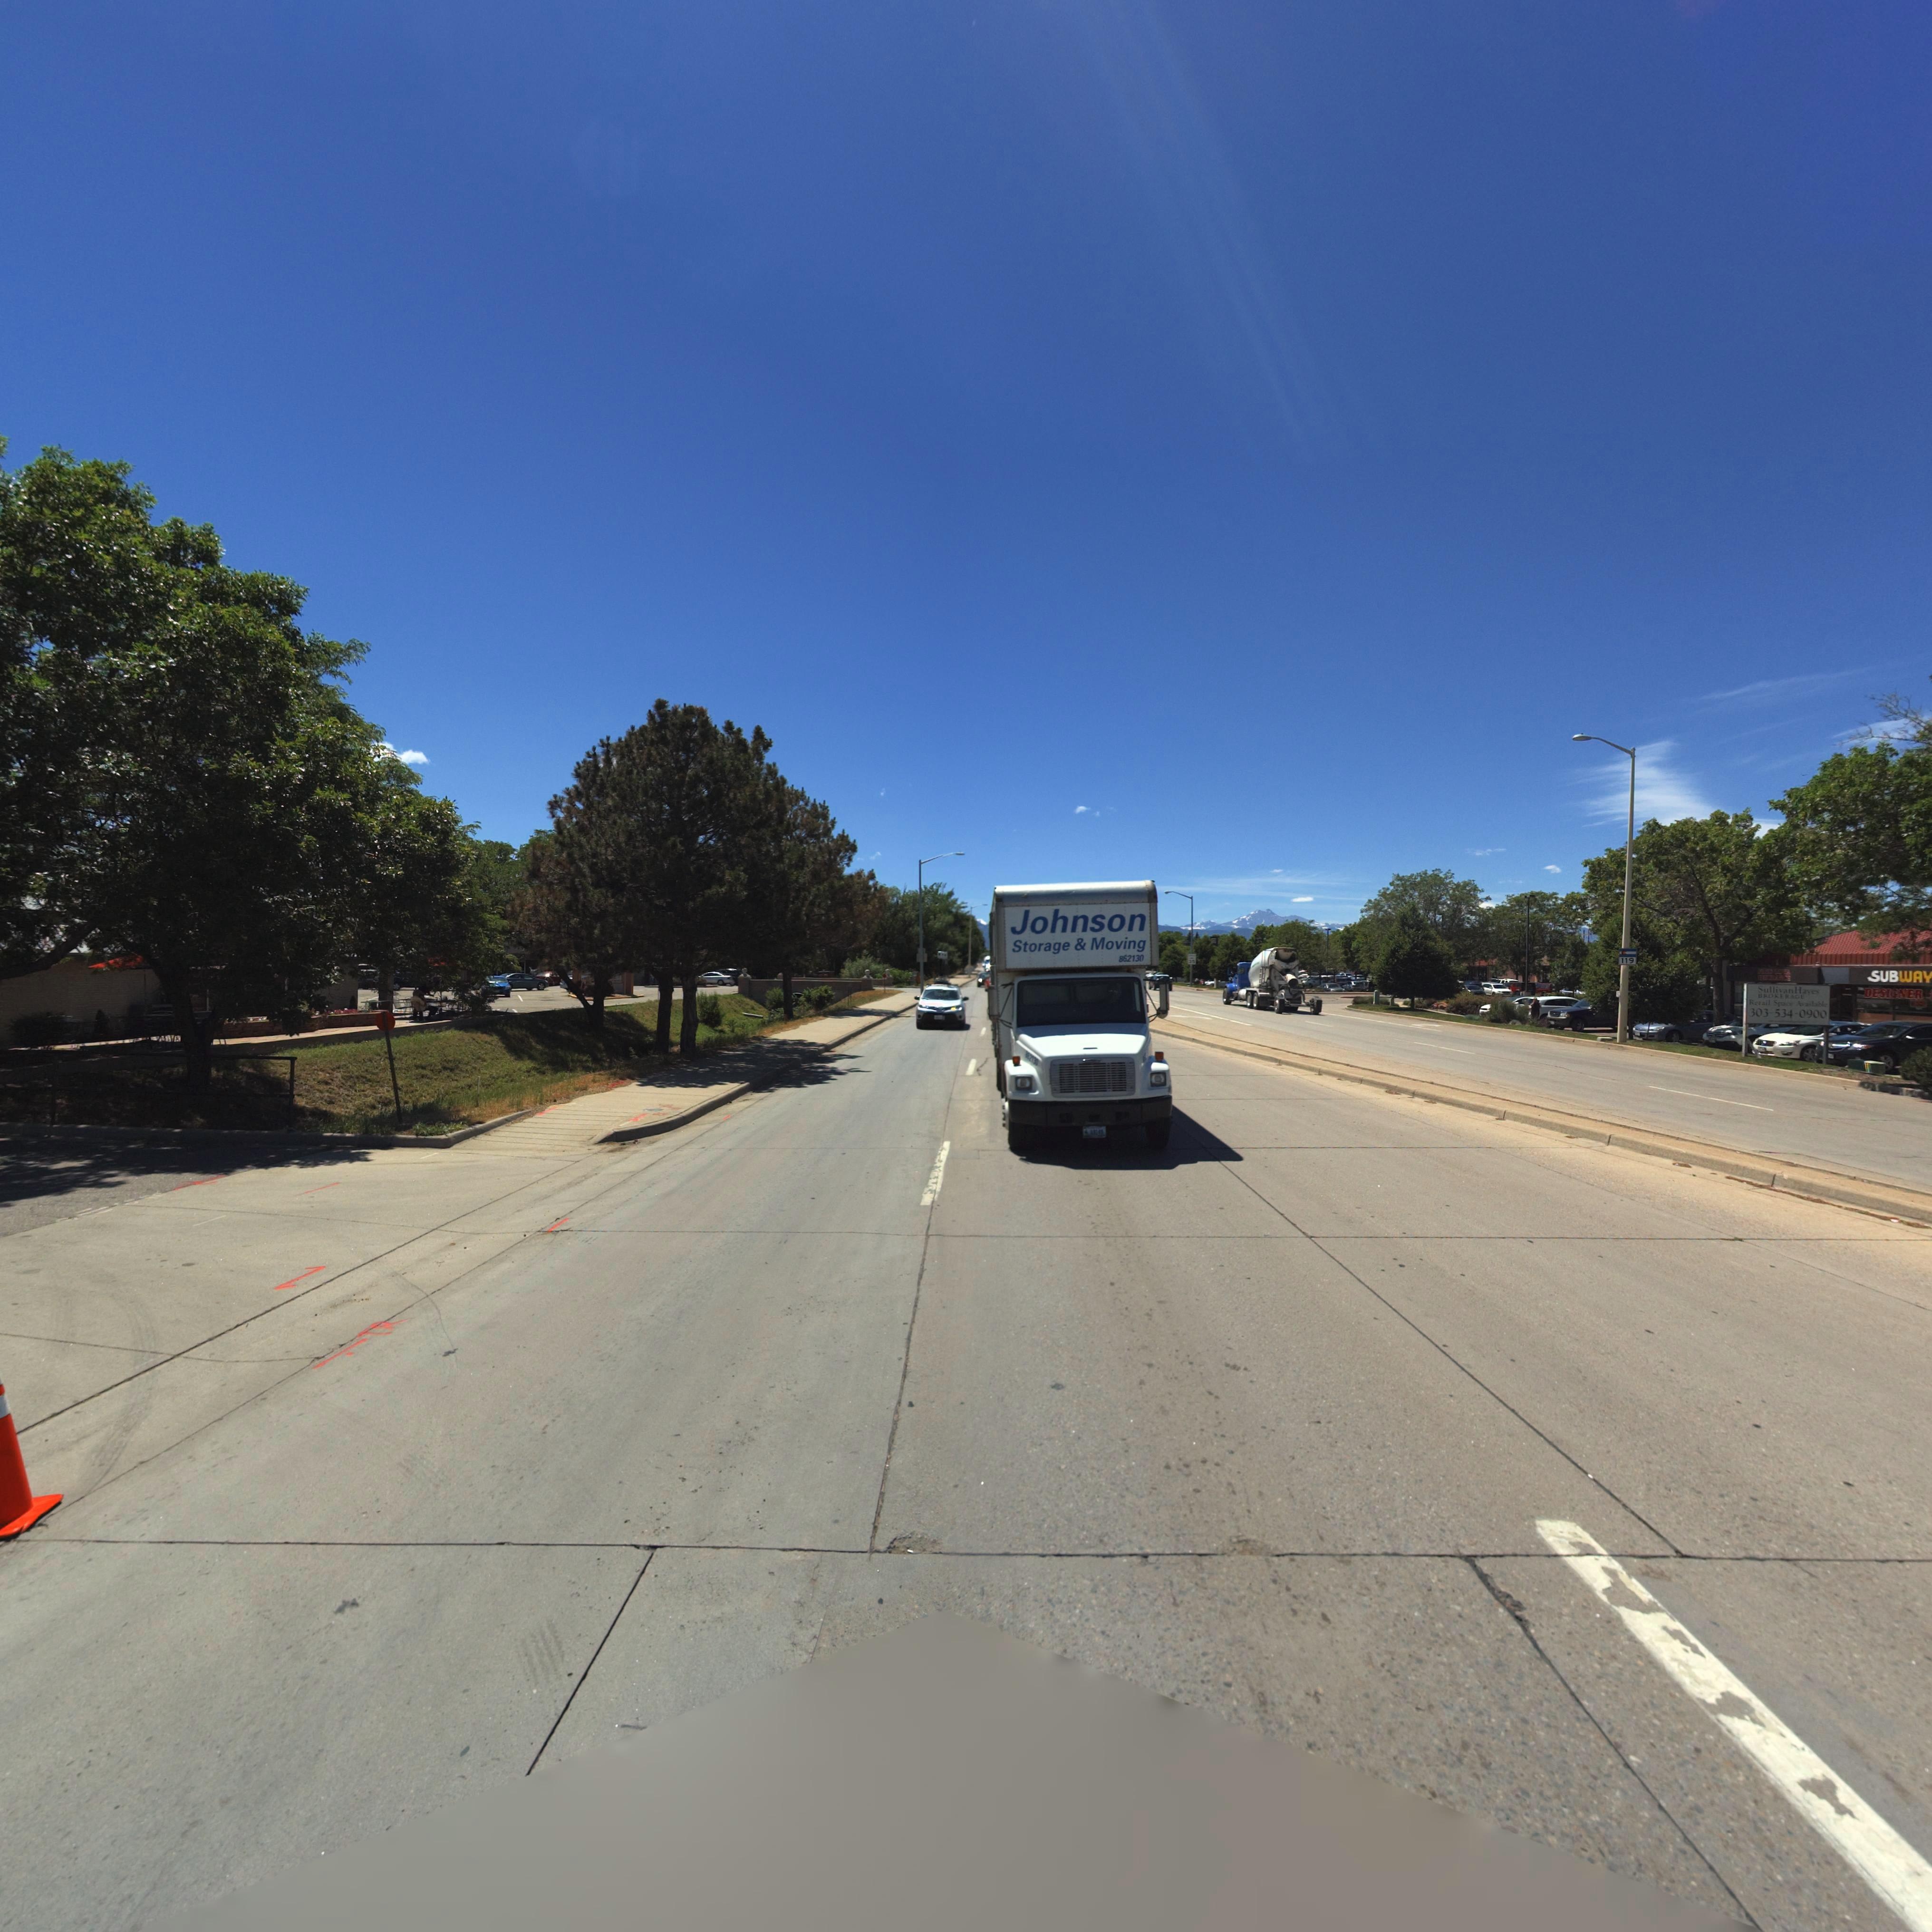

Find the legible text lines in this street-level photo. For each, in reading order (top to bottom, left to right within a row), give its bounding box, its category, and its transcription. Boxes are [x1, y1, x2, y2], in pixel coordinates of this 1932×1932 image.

[1866, 969, 1929, 983] BusinessName: SUBWA
[1864, 987, 1923, 1000] BusinessName: DESIGNER